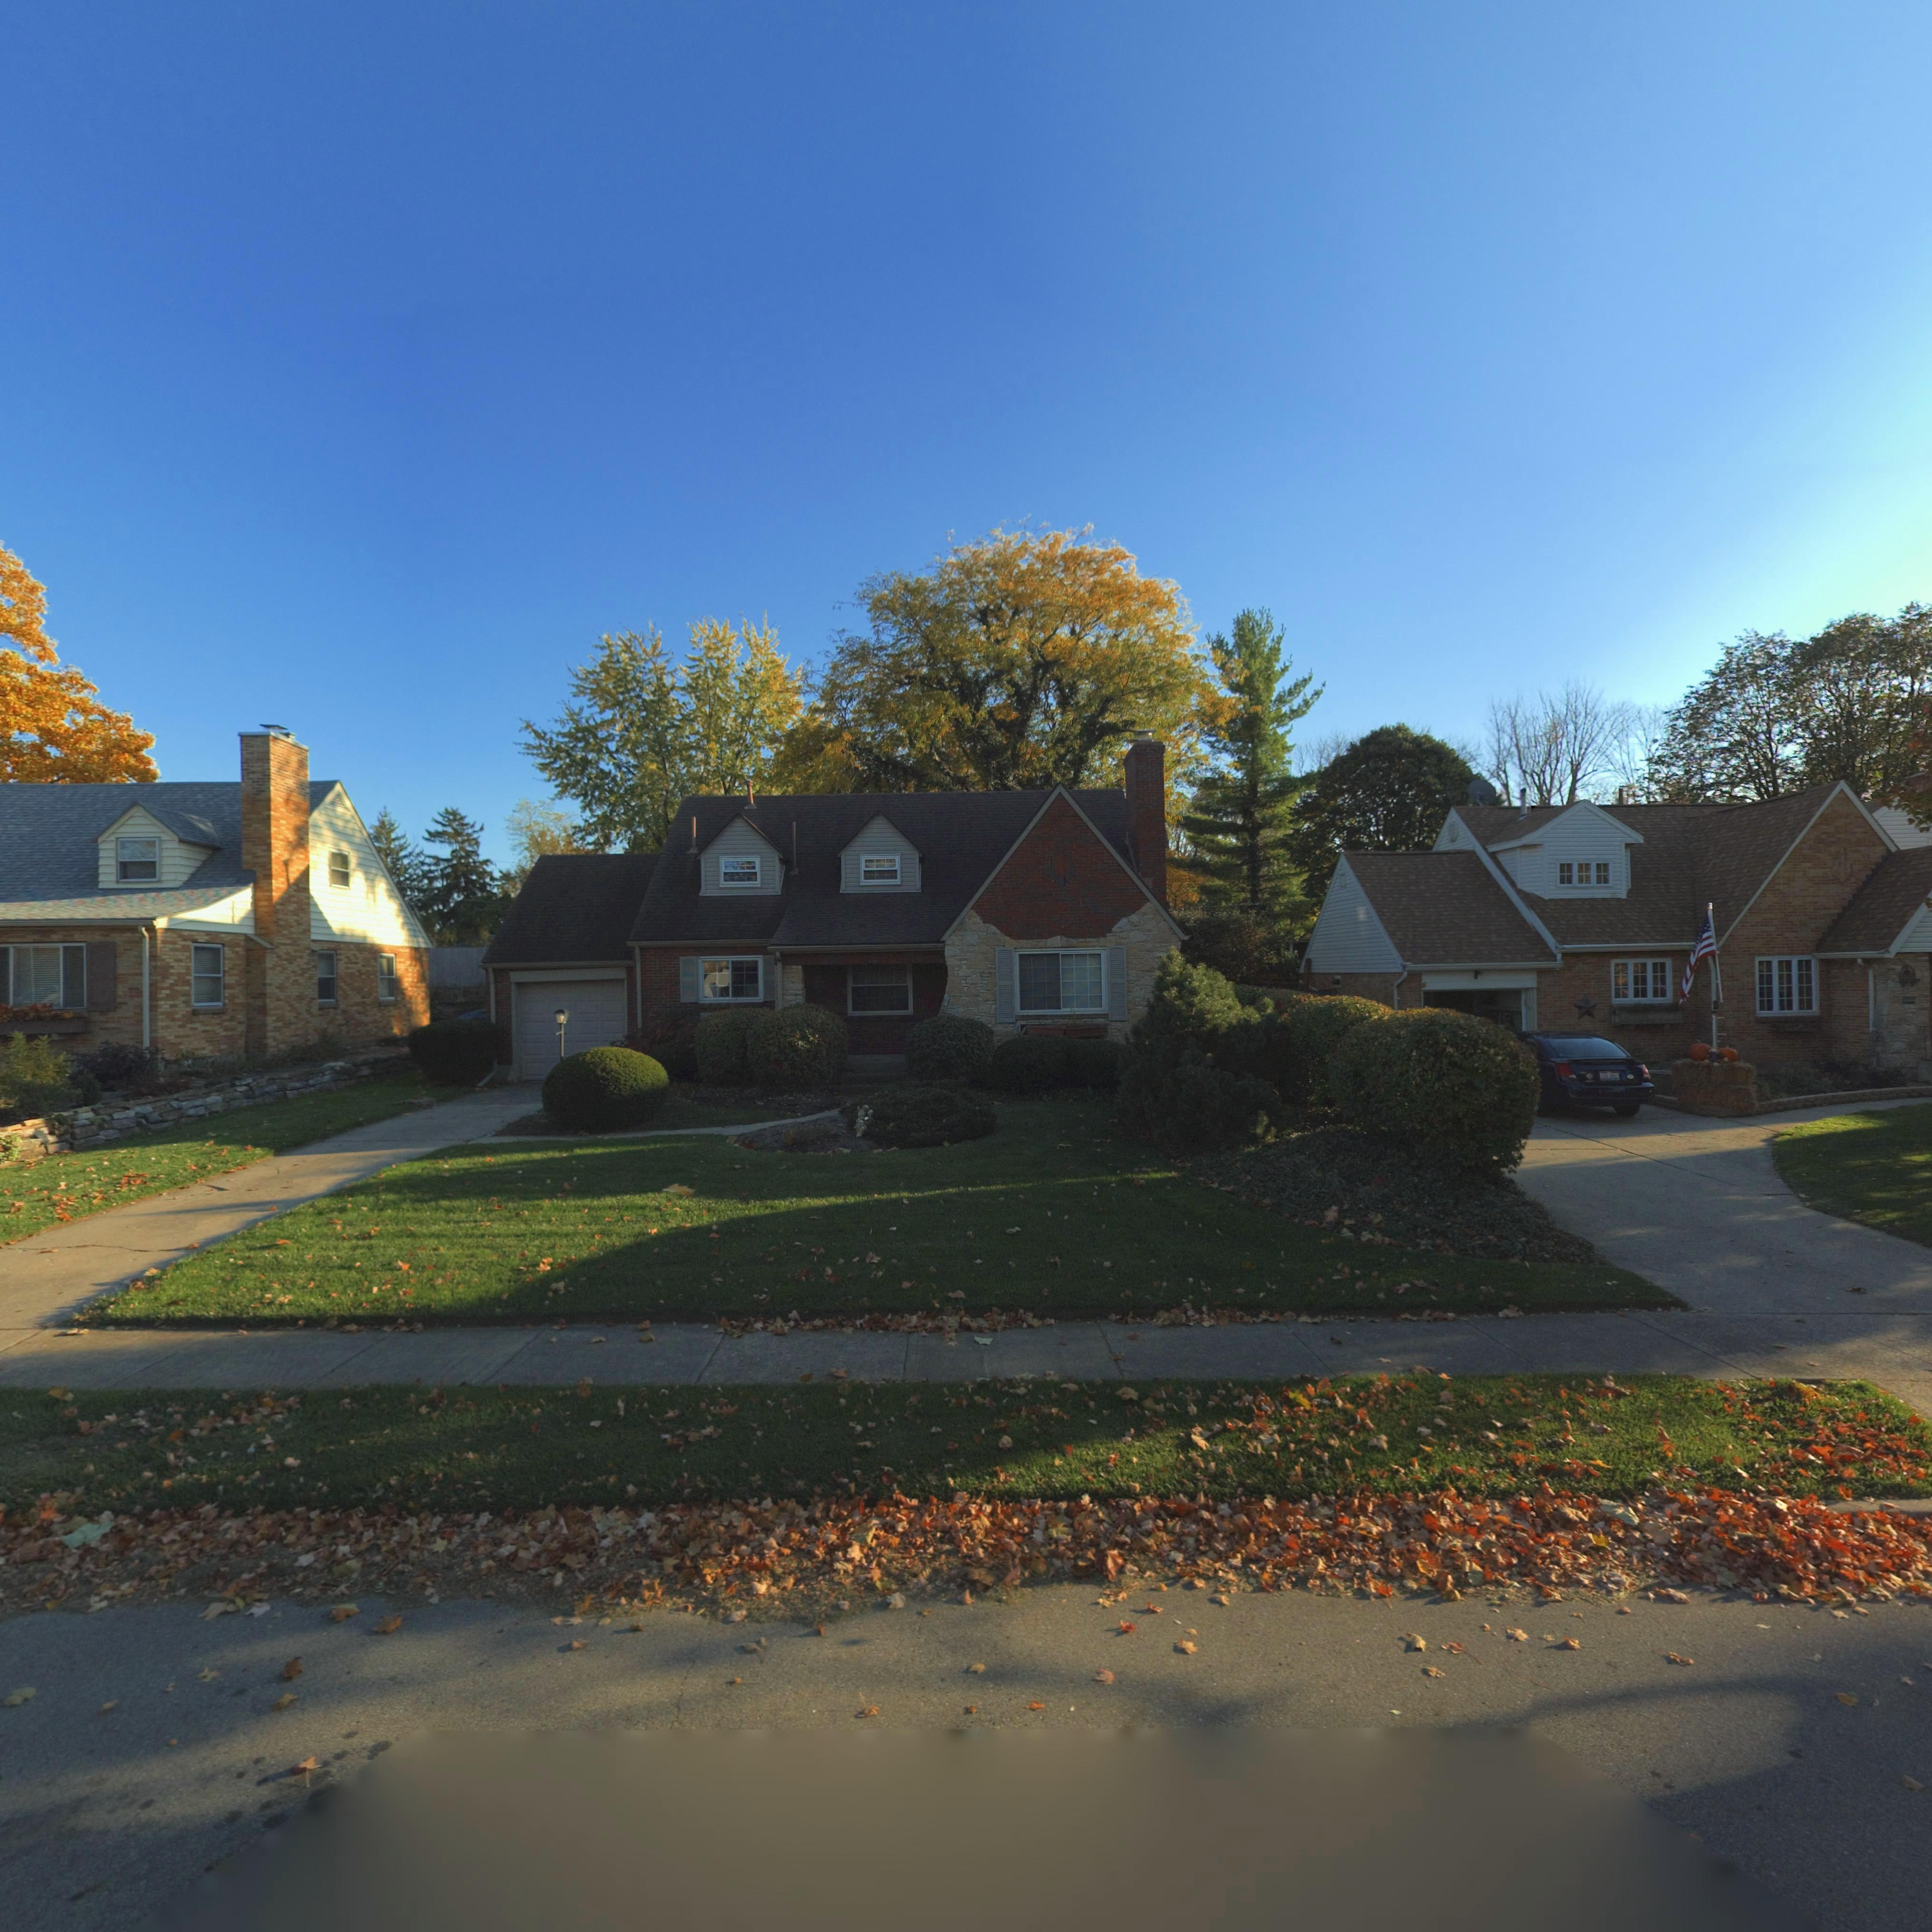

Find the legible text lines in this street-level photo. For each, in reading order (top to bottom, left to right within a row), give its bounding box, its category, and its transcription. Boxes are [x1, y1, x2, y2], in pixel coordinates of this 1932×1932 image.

[868, 958, 878, 964] StreetNumber: 1**
[838, 988, 847, 994] StreetNumber: 132